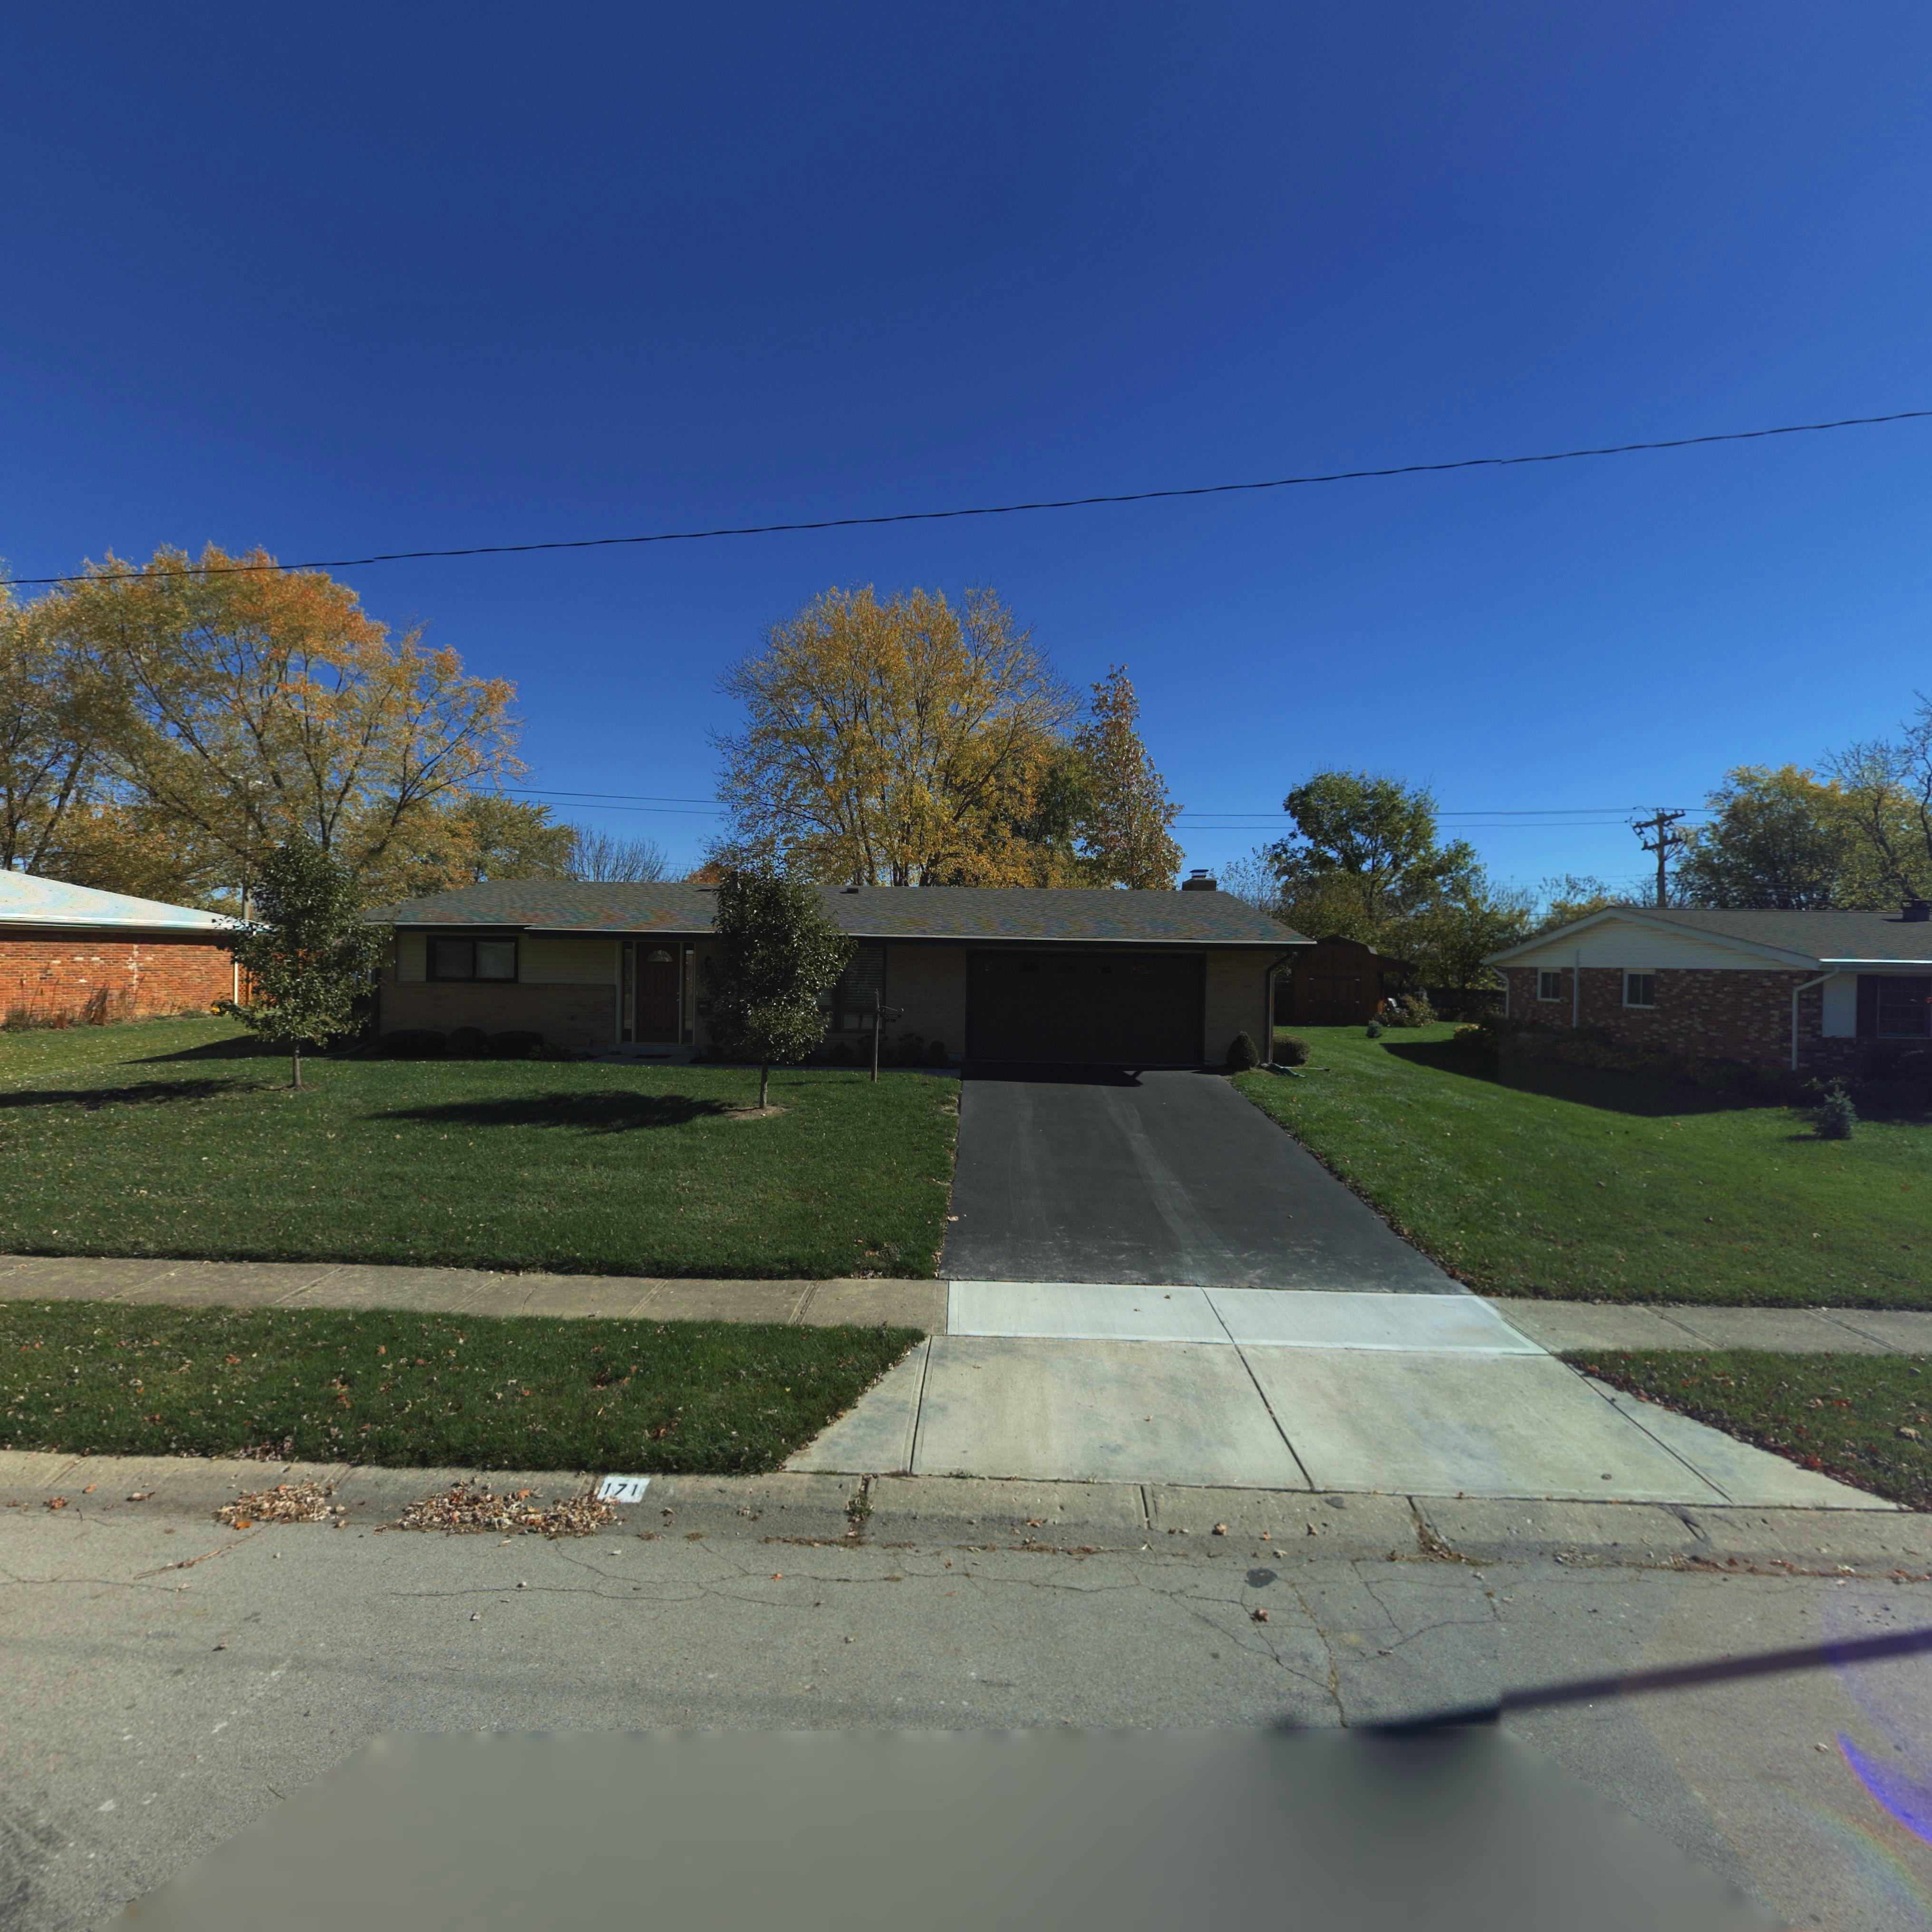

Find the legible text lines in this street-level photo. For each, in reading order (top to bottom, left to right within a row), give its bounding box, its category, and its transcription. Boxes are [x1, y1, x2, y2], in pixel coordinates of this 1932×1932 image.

[602, 1482, 640, 1497] StreetNumber: 171